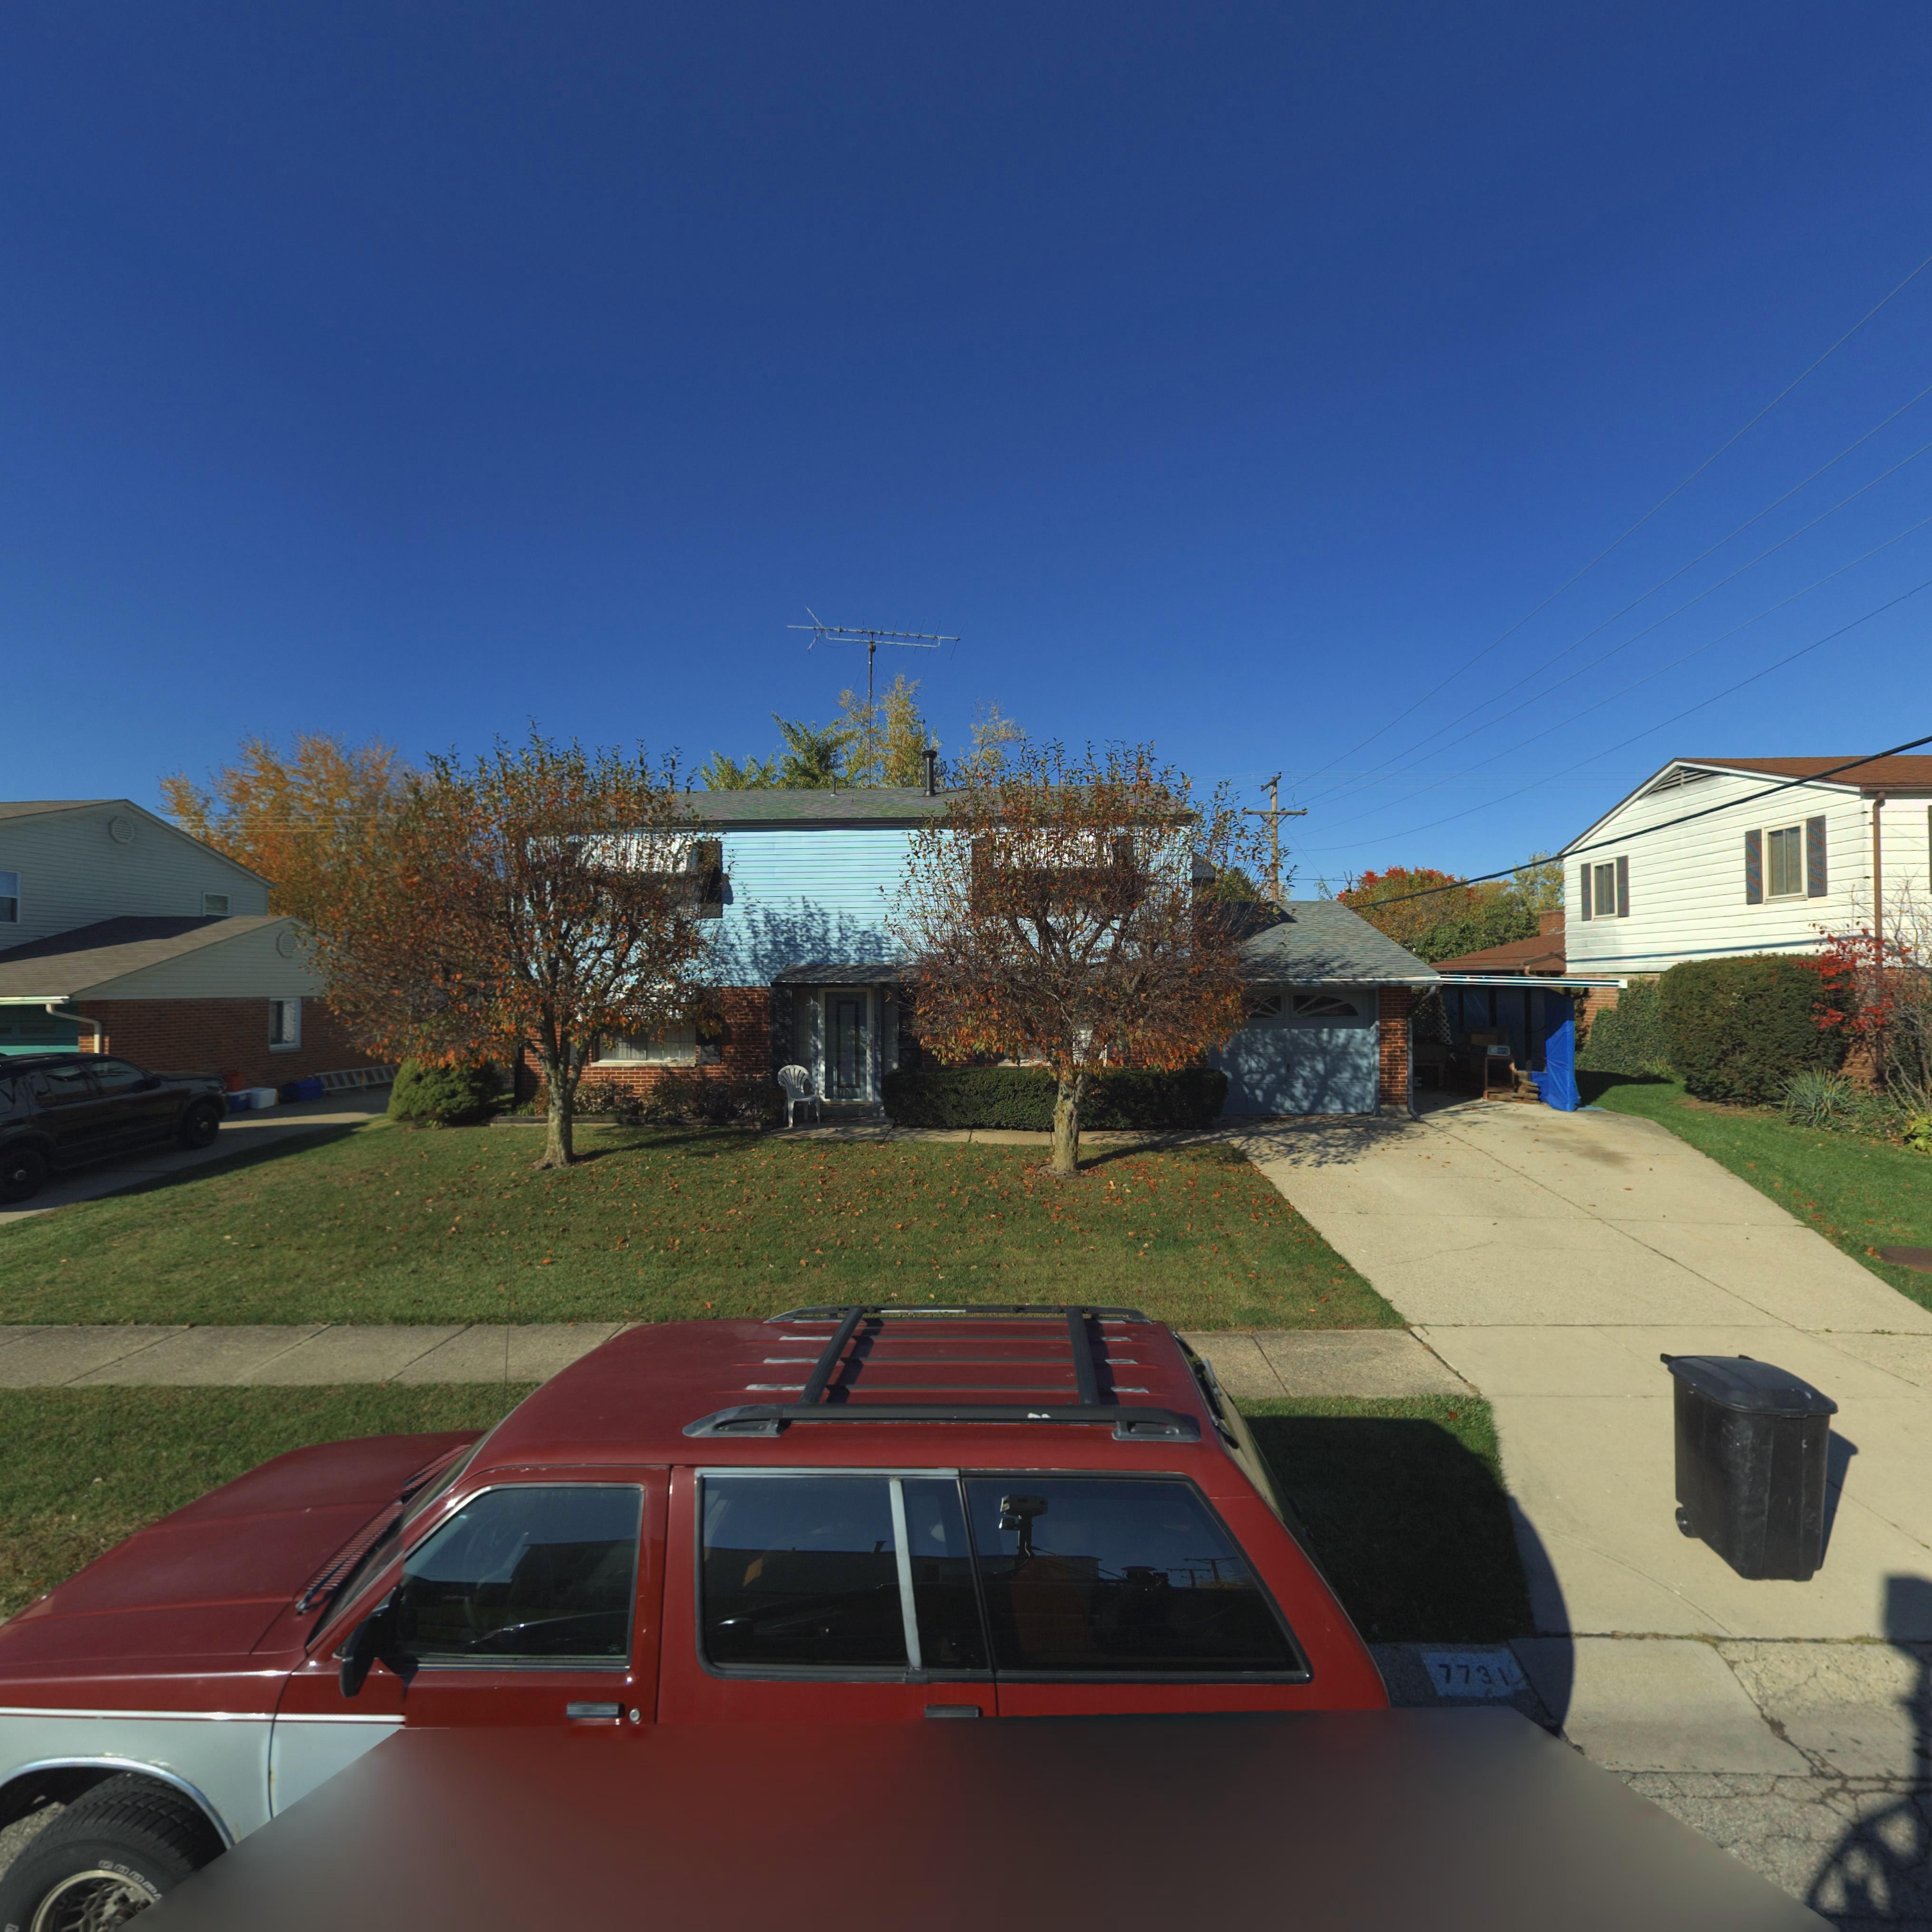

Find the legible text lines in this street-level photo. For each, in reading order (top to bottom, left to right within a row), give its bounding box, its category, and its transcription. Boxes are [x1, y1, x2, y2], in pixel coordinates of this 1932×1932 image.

[874, 1014, 881, 1032] StreetNumber: 7731
[1436, 1662, 1512, 1688] StreetNumber: 7731